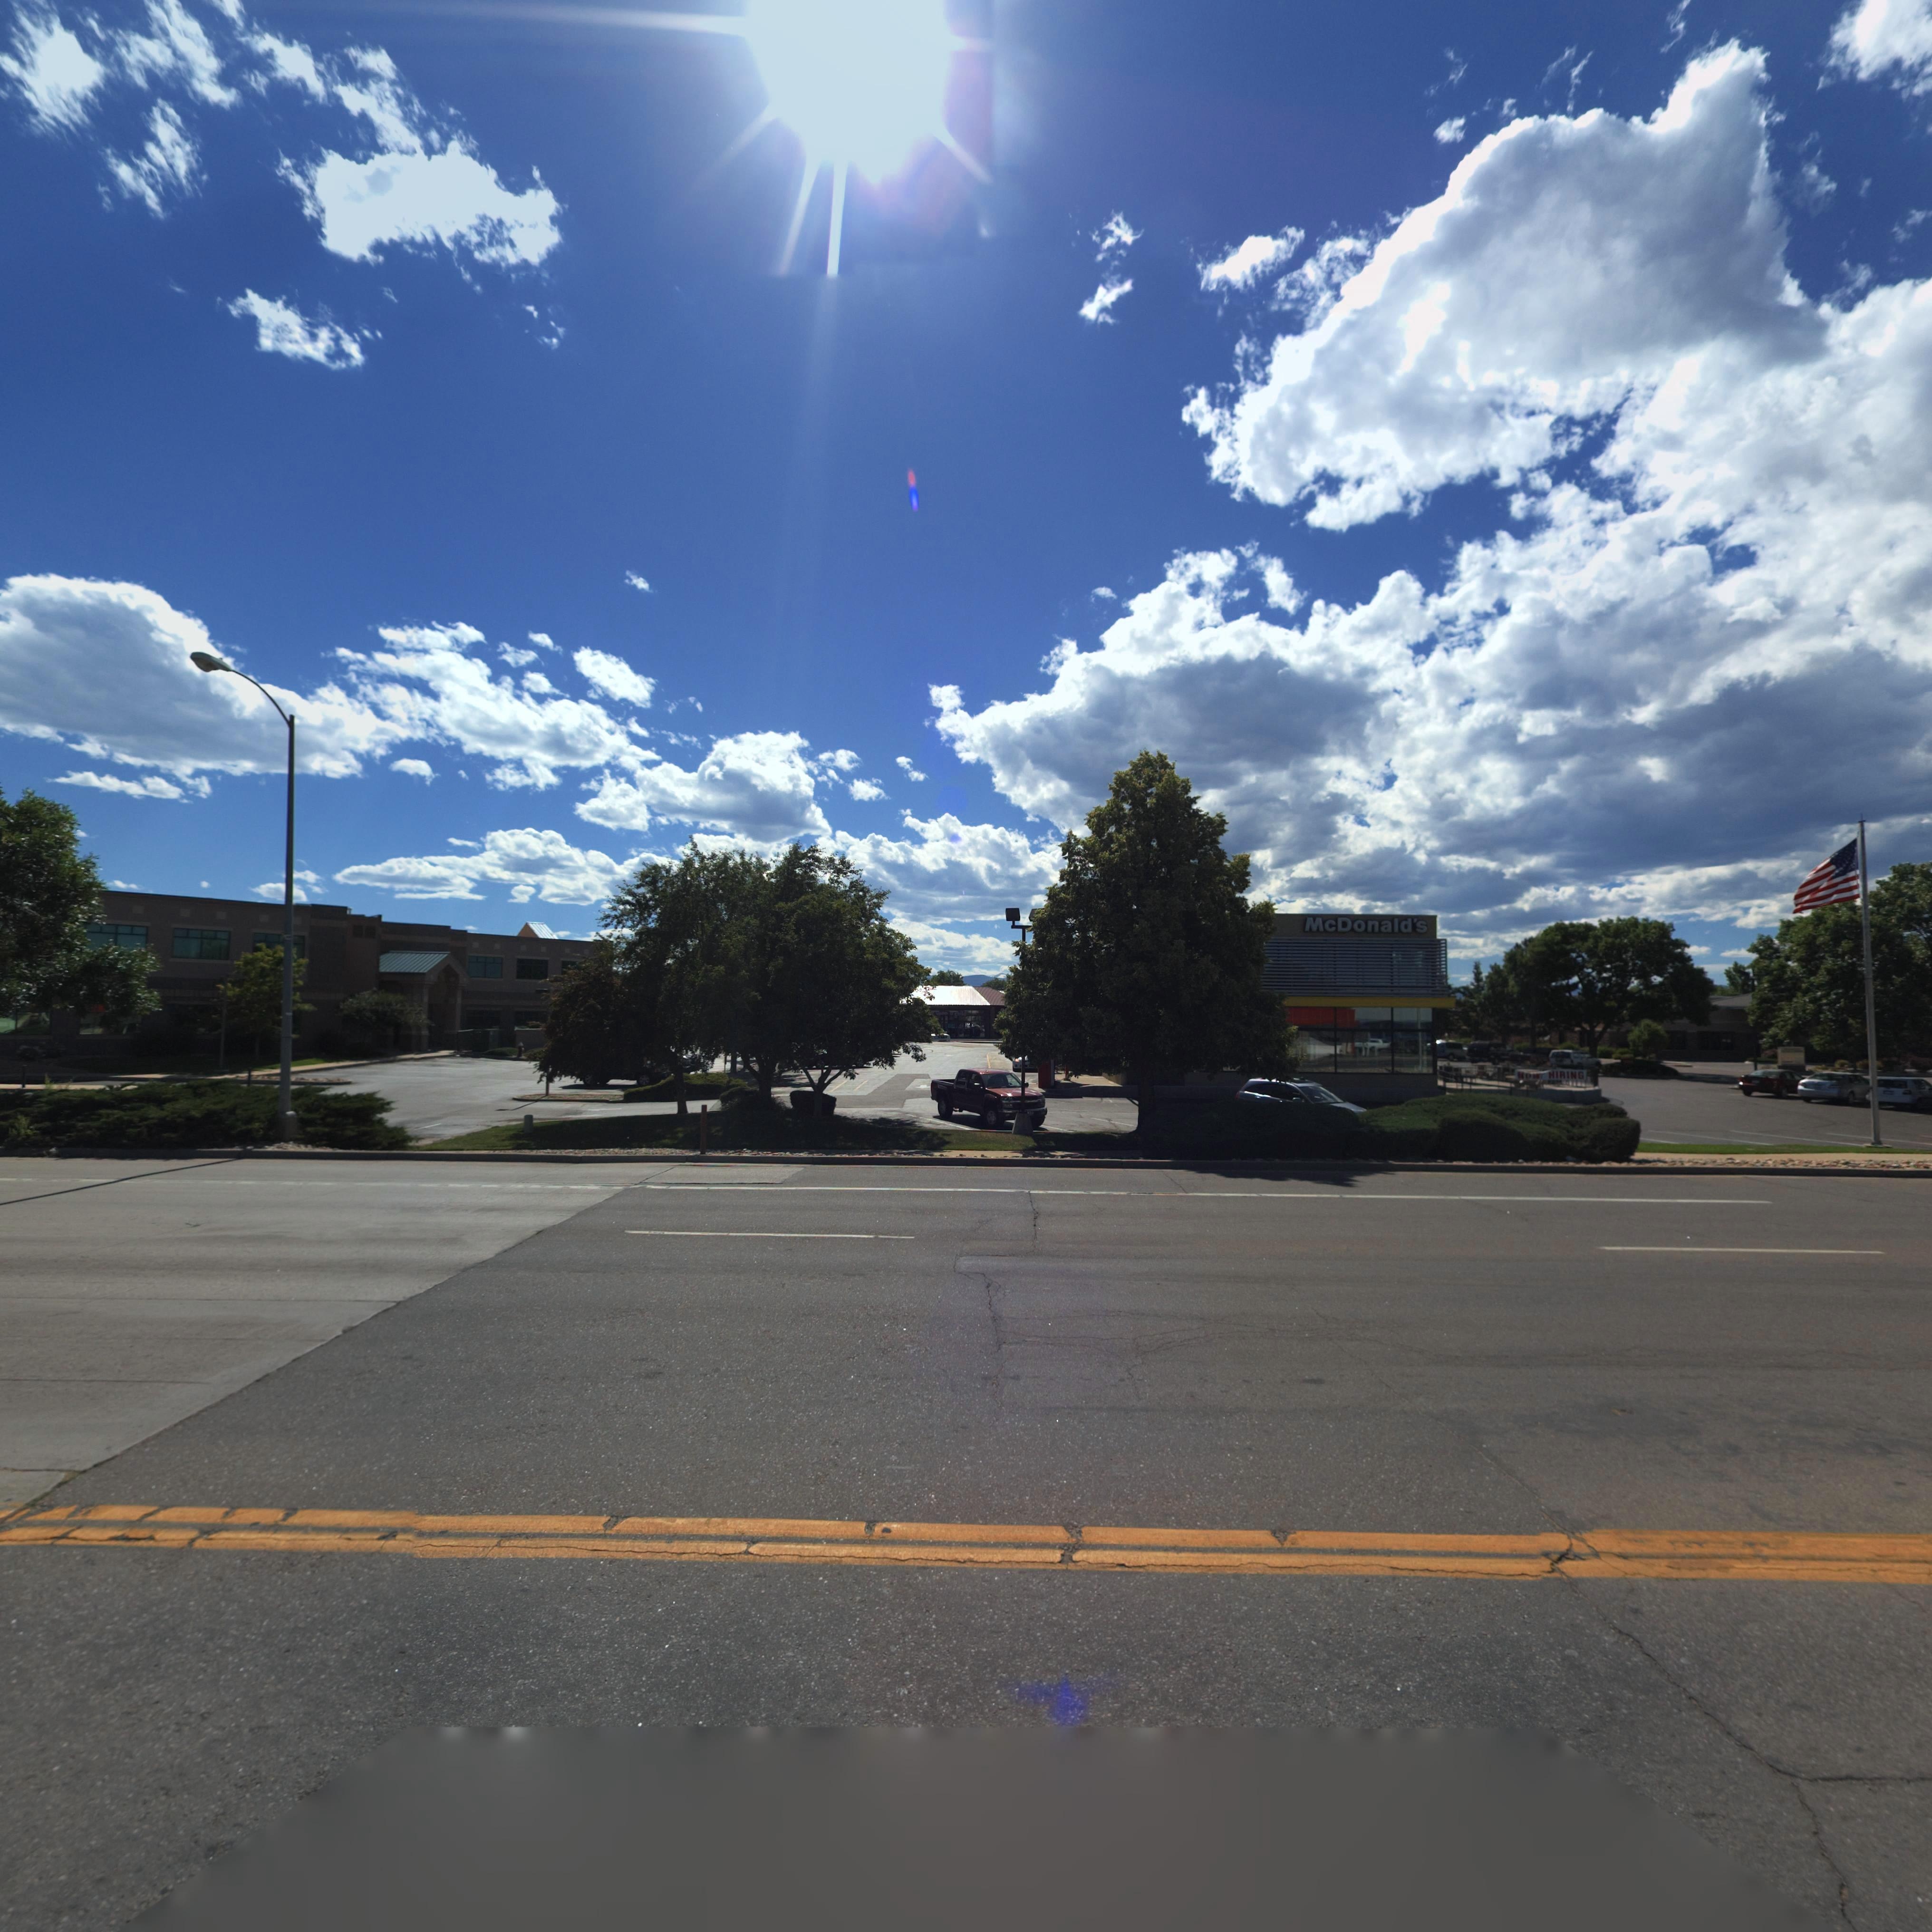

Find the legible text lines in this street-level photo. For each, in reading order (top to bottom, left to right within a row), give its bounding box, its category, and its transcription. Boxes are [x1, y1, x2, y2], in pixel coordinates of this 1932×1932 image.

[1304, 917, 1428, 933] BusinessName: McDonald's